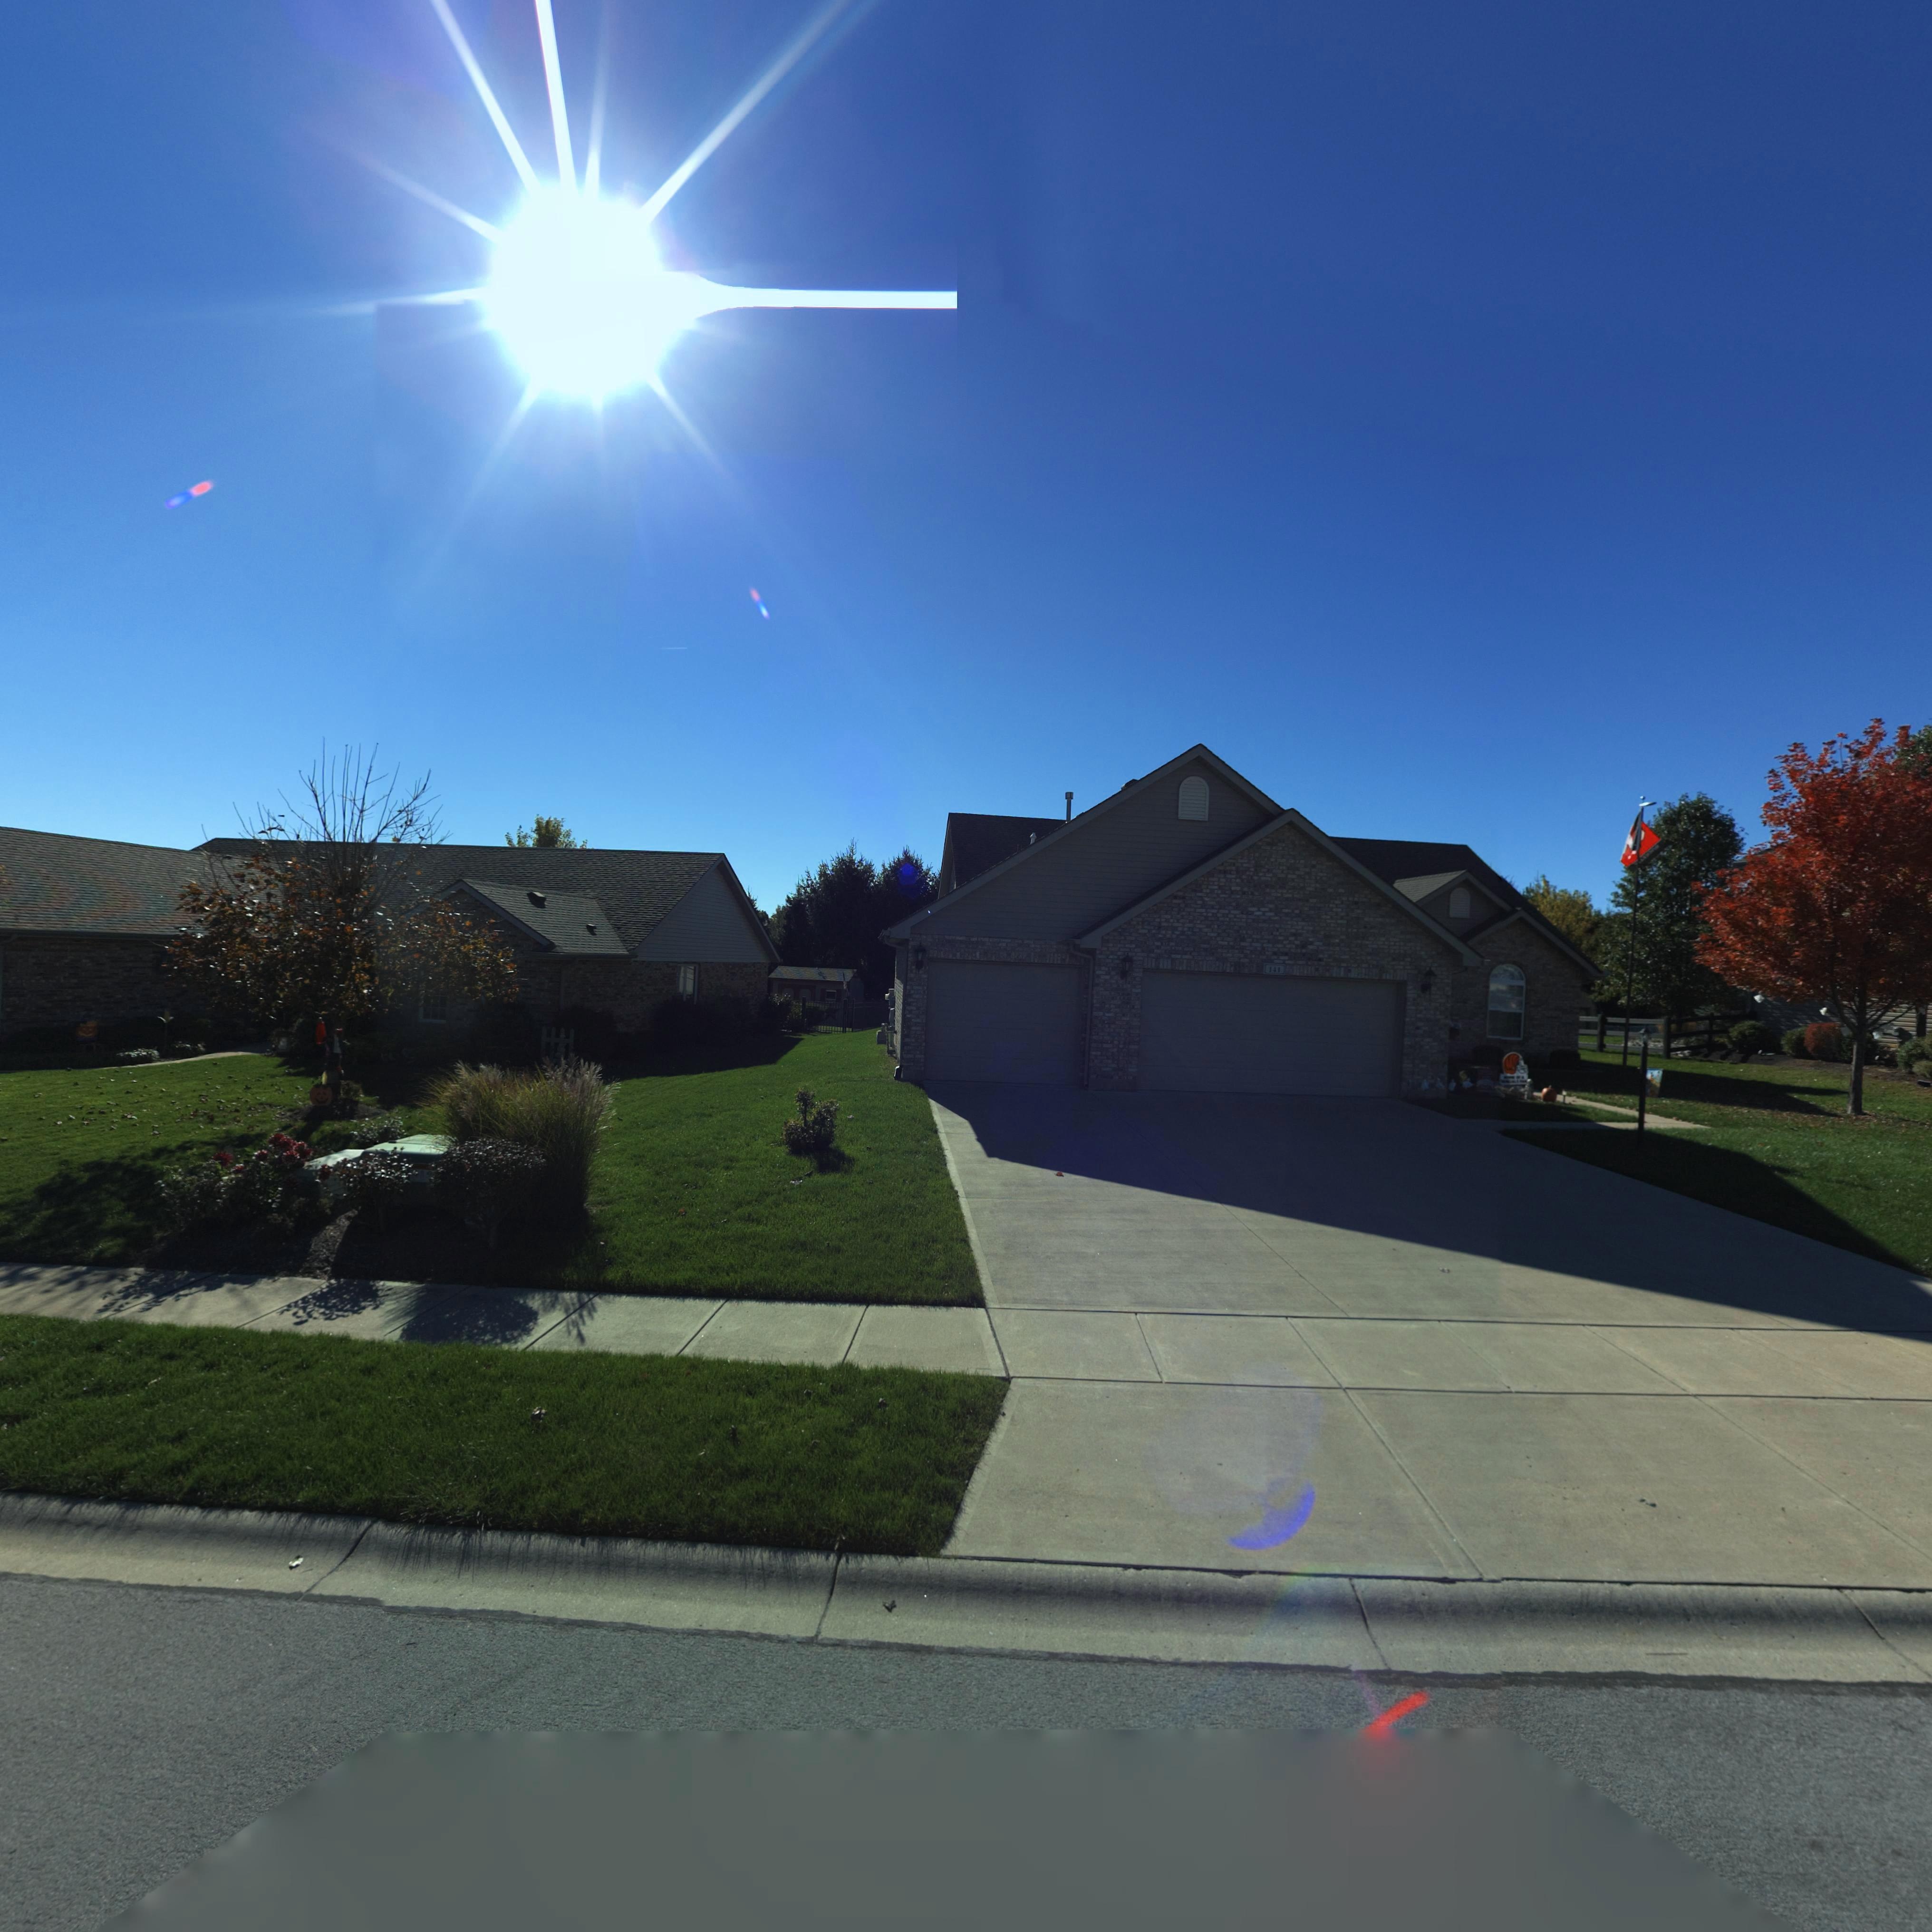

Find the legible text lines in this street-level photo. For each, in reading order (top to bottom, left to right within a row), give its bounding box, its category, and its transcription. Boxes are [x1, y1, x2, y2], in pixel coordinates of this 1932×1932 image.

[1268, 966, 1281, 973] StreetNumber: 141